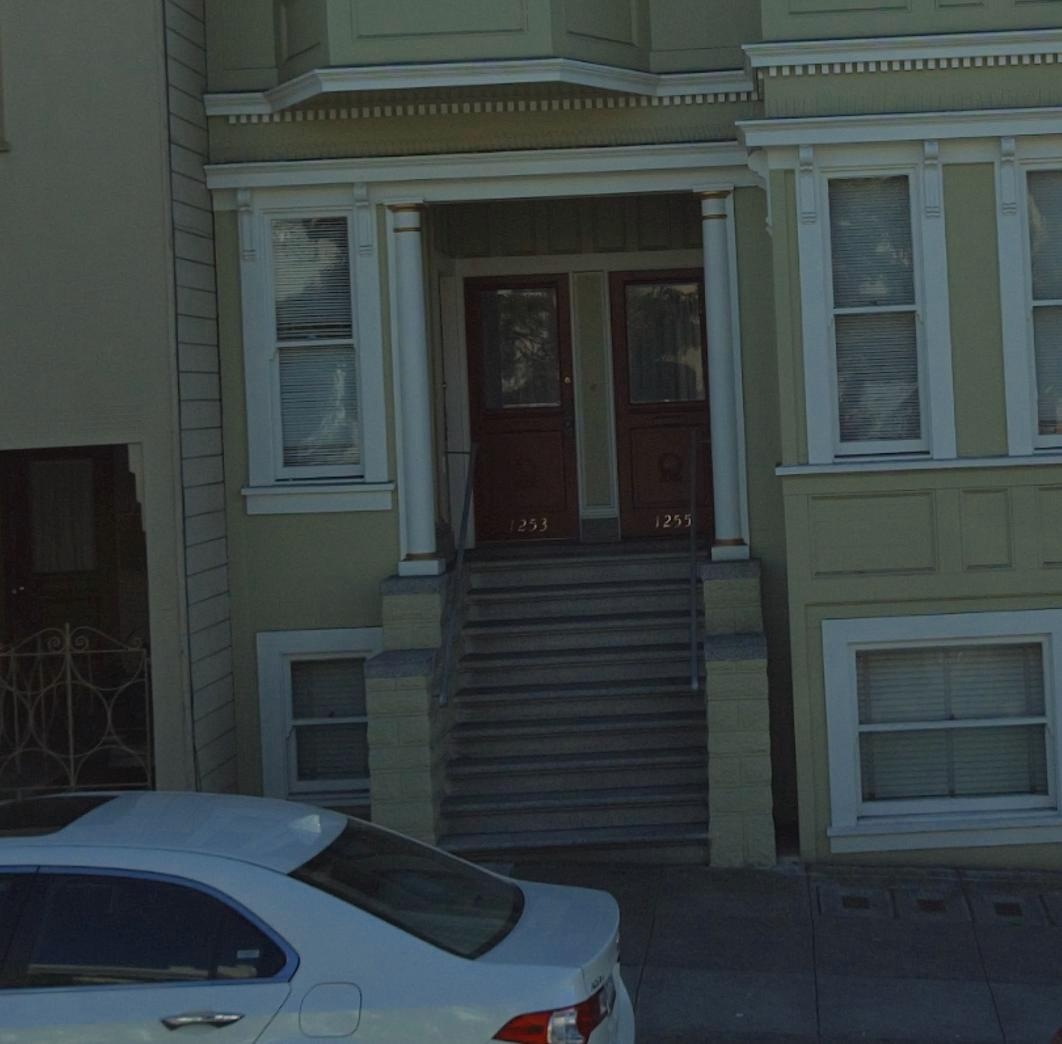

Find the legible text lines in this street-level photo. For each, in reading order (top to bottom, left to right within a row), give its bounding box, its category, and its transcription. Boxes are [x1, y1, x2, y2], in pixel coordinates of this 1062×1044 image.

[508, 516, 550, 534] StreetNumber: 1253
[653, 512, 693, 530] StreetNumber: 1255